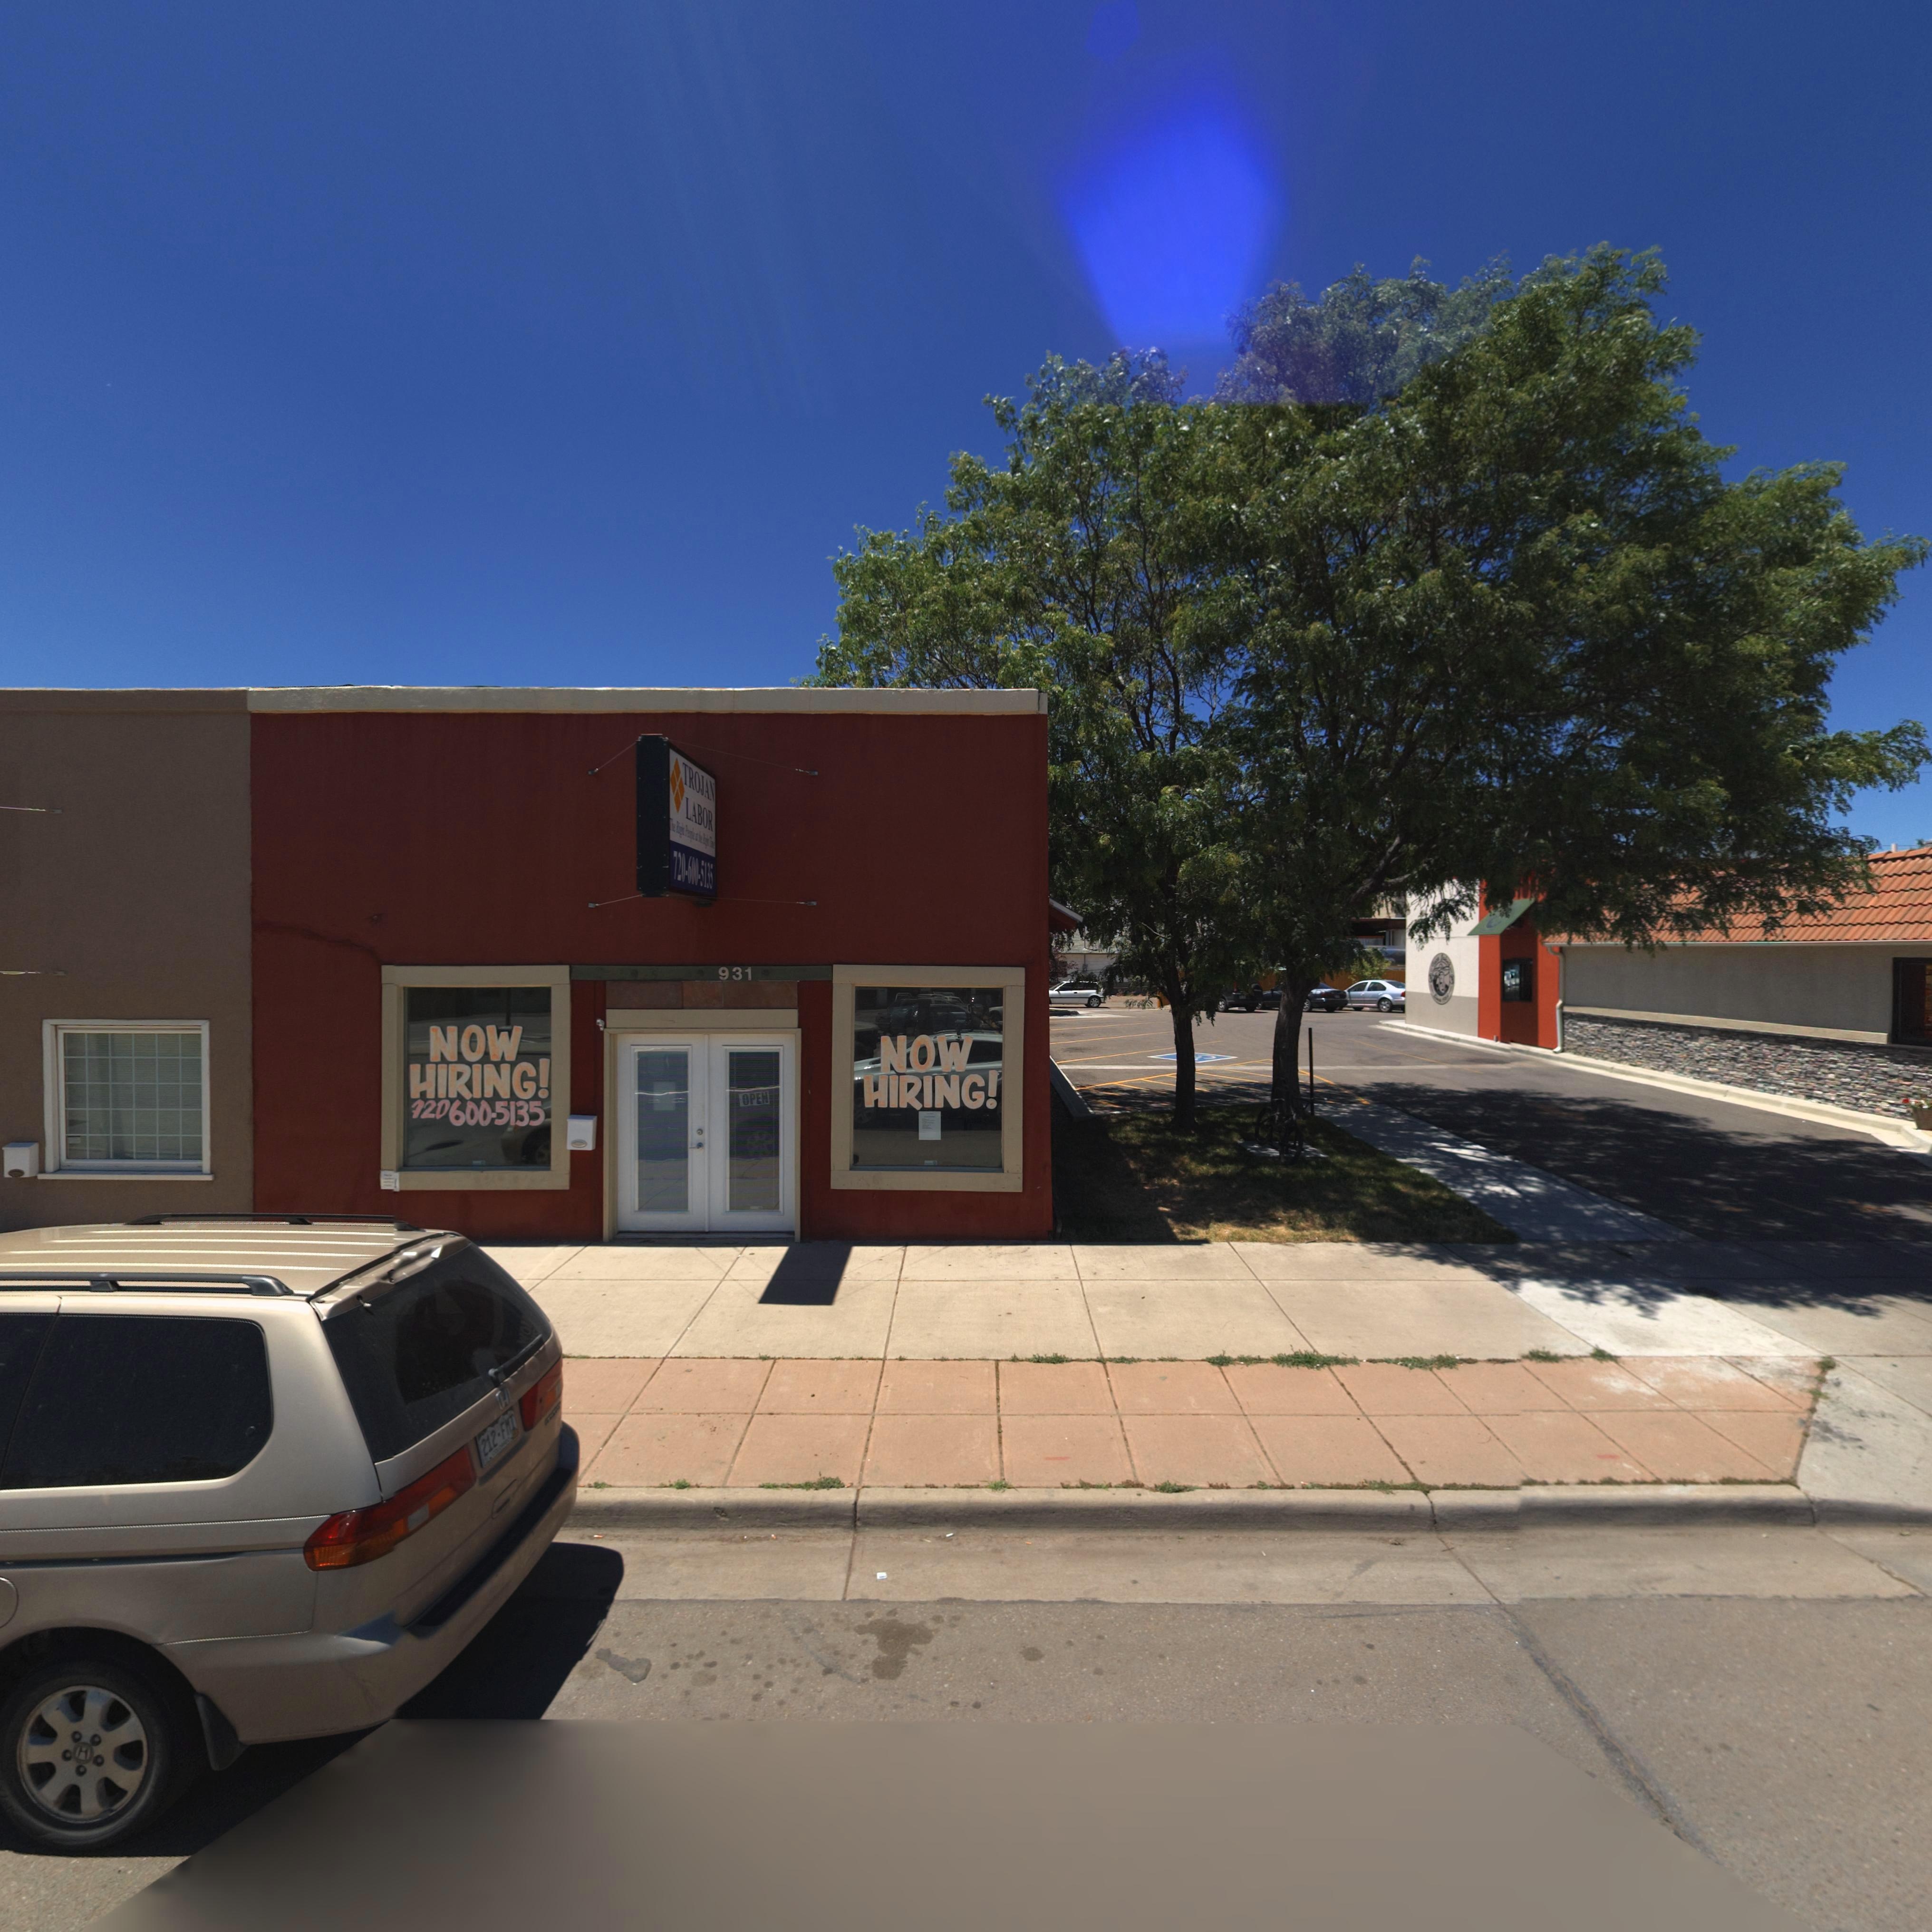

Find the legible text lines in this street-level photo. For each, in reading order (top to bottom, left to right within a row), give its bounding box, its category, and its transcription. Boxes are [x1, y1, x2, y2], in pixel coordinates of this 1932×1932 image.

[681, 761, 715, 803] BusinessName: TROJAN
[685, 795, 713, 832] BusinessName: LABOR
[718, 966, 752, 980] StreetNumber: 931